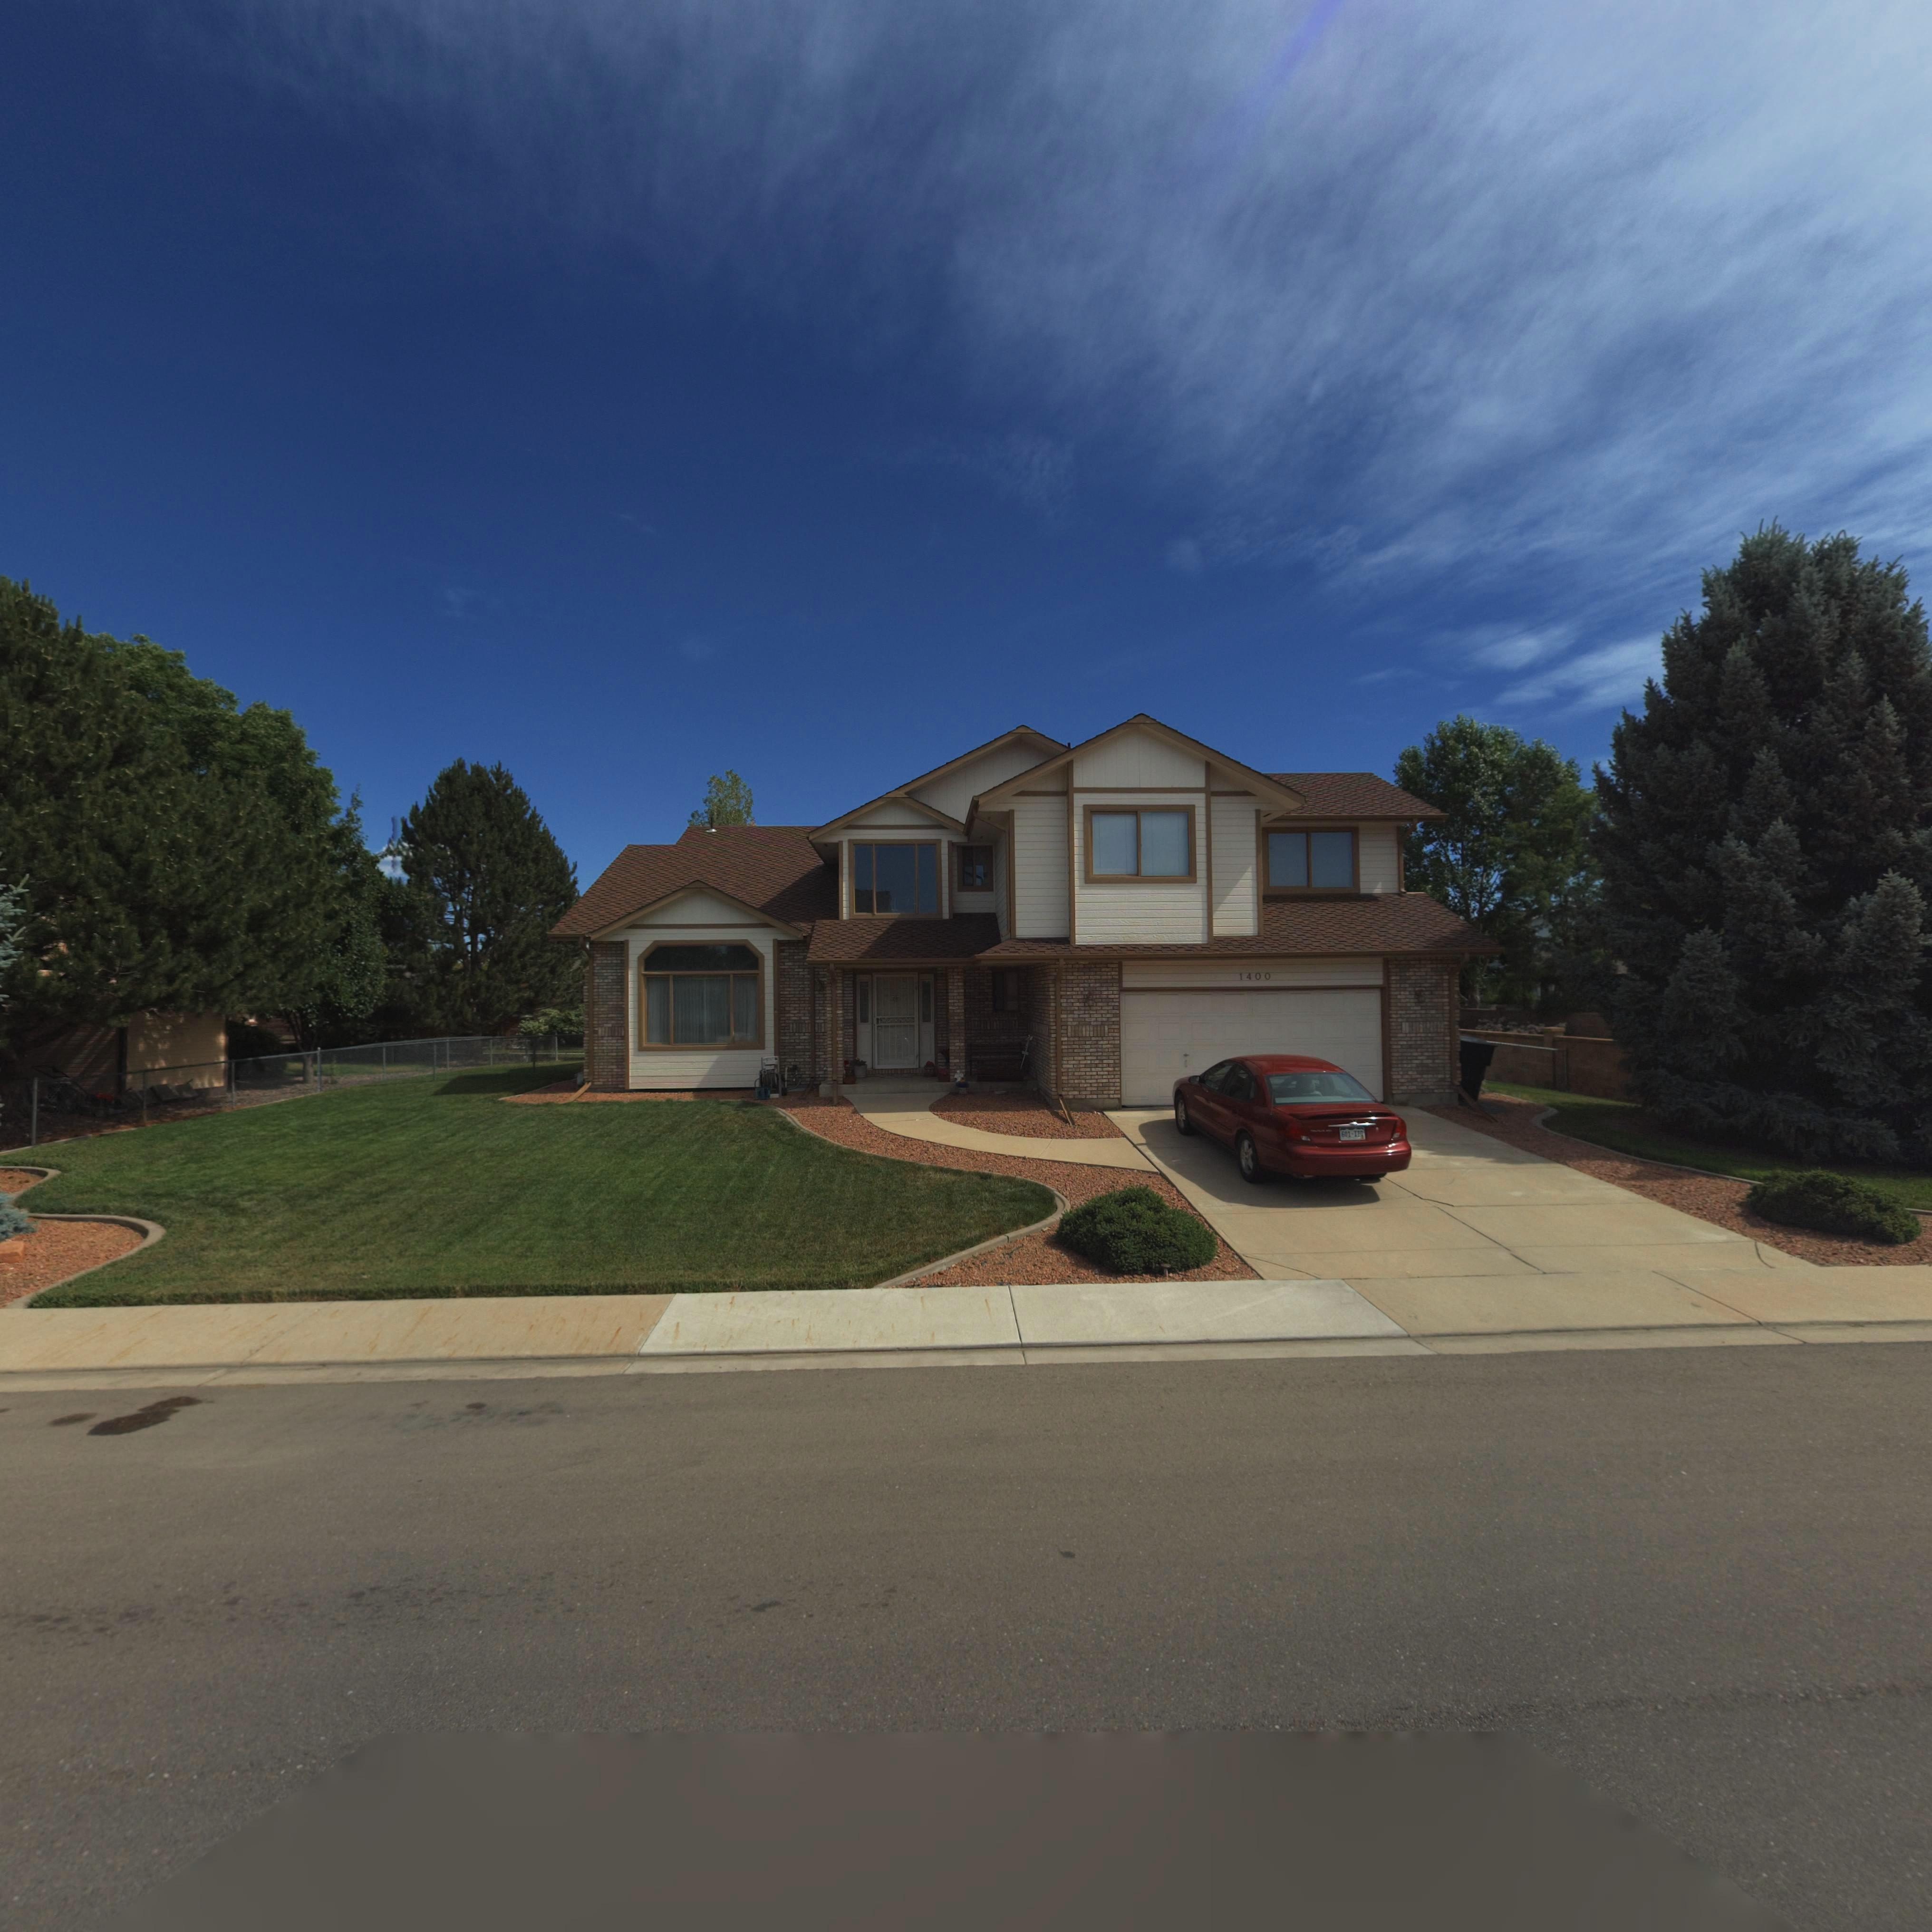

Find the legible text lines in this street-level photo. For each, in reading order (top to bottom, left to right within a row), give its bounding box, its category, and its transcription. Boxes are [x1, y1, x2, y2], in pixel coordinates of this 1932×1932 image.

[1239, 972, 1271, 980] StreetNumber: 1400